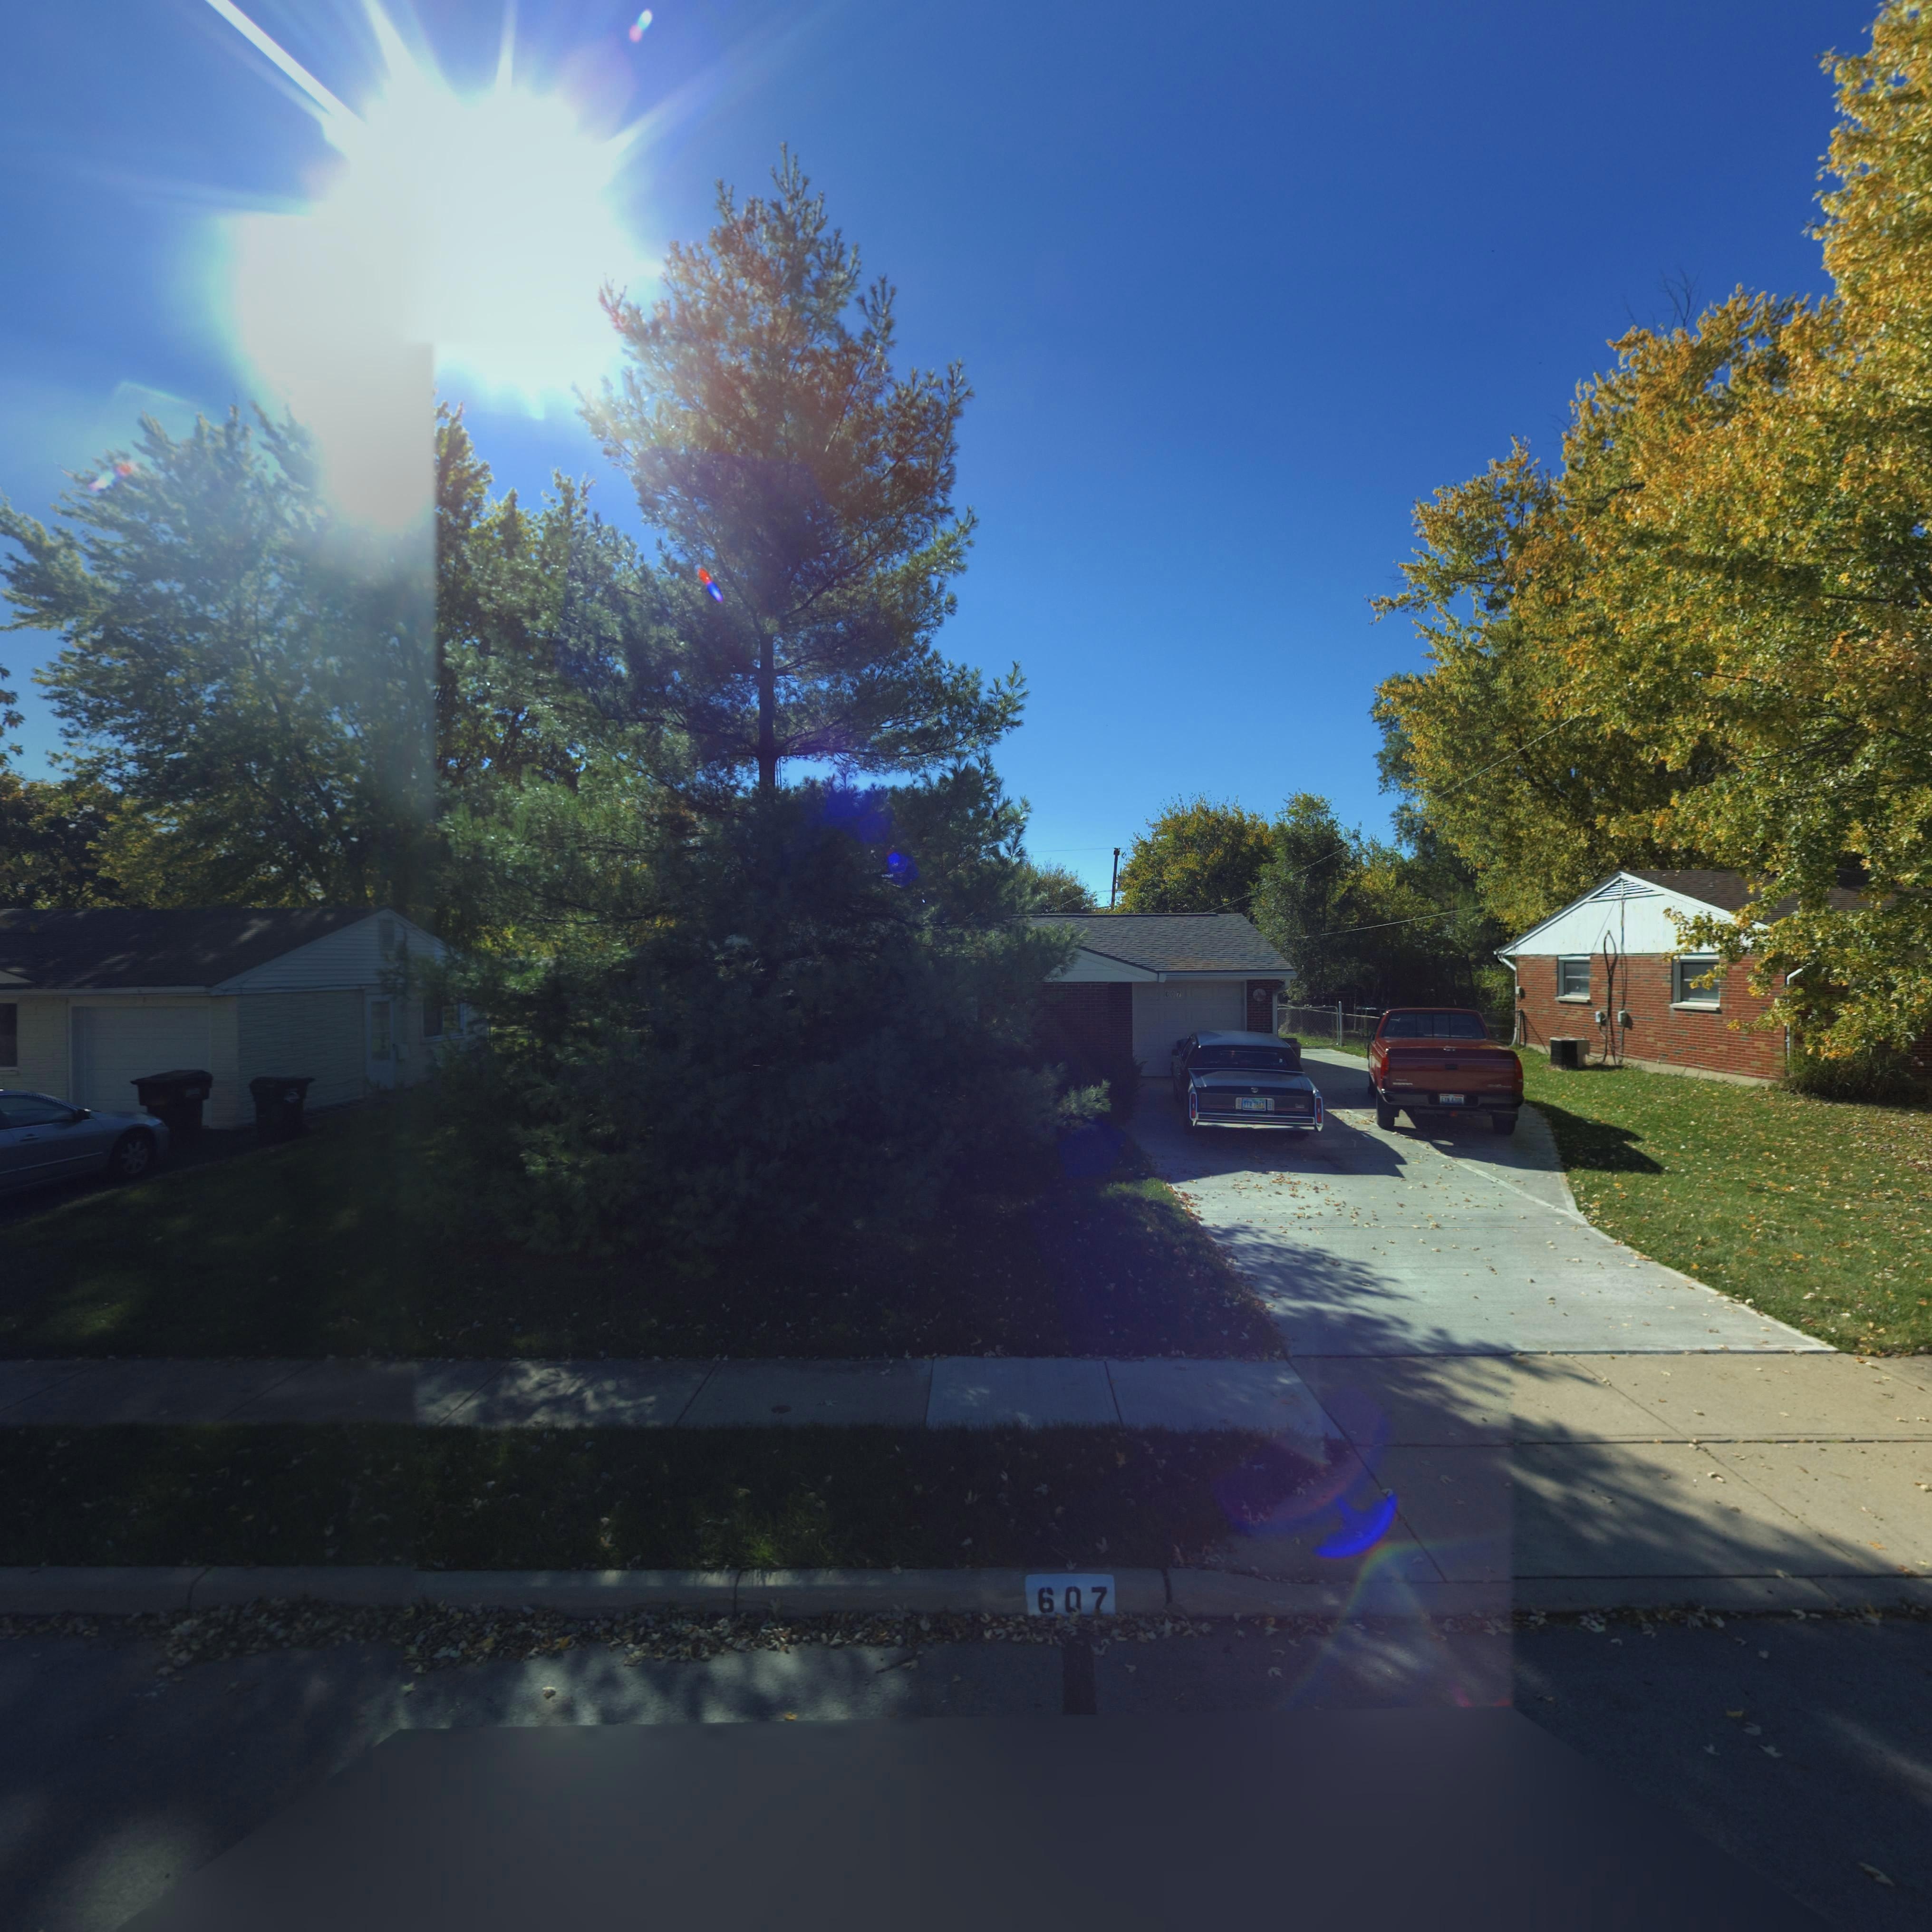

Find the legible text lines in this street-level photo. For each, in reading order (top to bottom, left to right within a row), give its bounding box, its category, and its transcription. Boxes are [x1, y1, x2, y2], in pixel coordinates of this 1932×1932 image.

[1165, 991, 1181, 997] StreetNumber: 607
[1440, 1096, 1450, 1102] None: E*N
[1243, 1100, 1265, 1109] None: FFR*7847
[1037, 1585, 1109, 1615] StreetNumber: 607